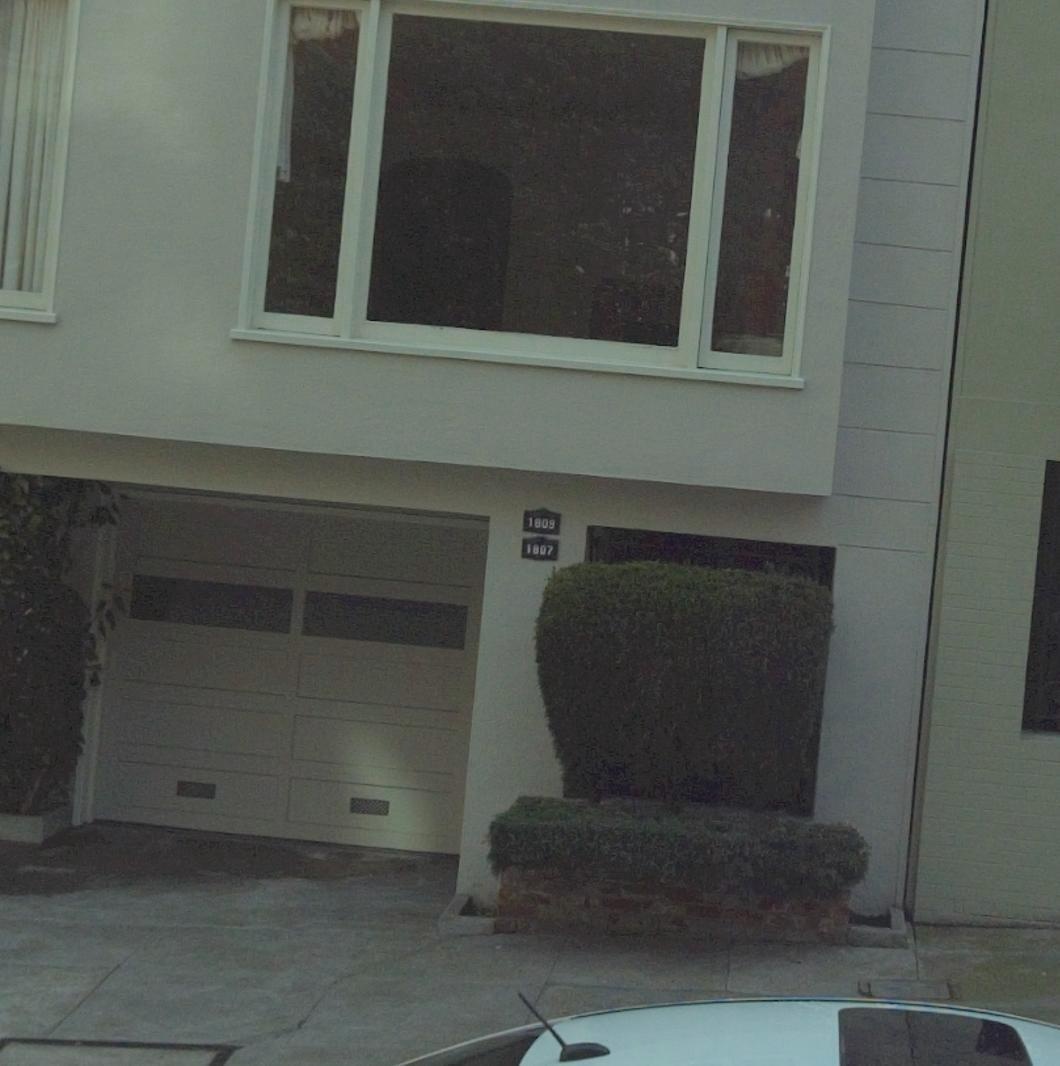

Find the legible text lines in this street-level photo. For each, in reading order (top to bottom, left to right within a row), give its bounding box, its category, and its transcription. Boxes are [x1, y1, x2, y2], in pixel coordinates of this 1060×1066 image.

[526, 515, 558, 533] StreetNumber: 1809
[524, 541, 556, 558] StreetNumber: 1807